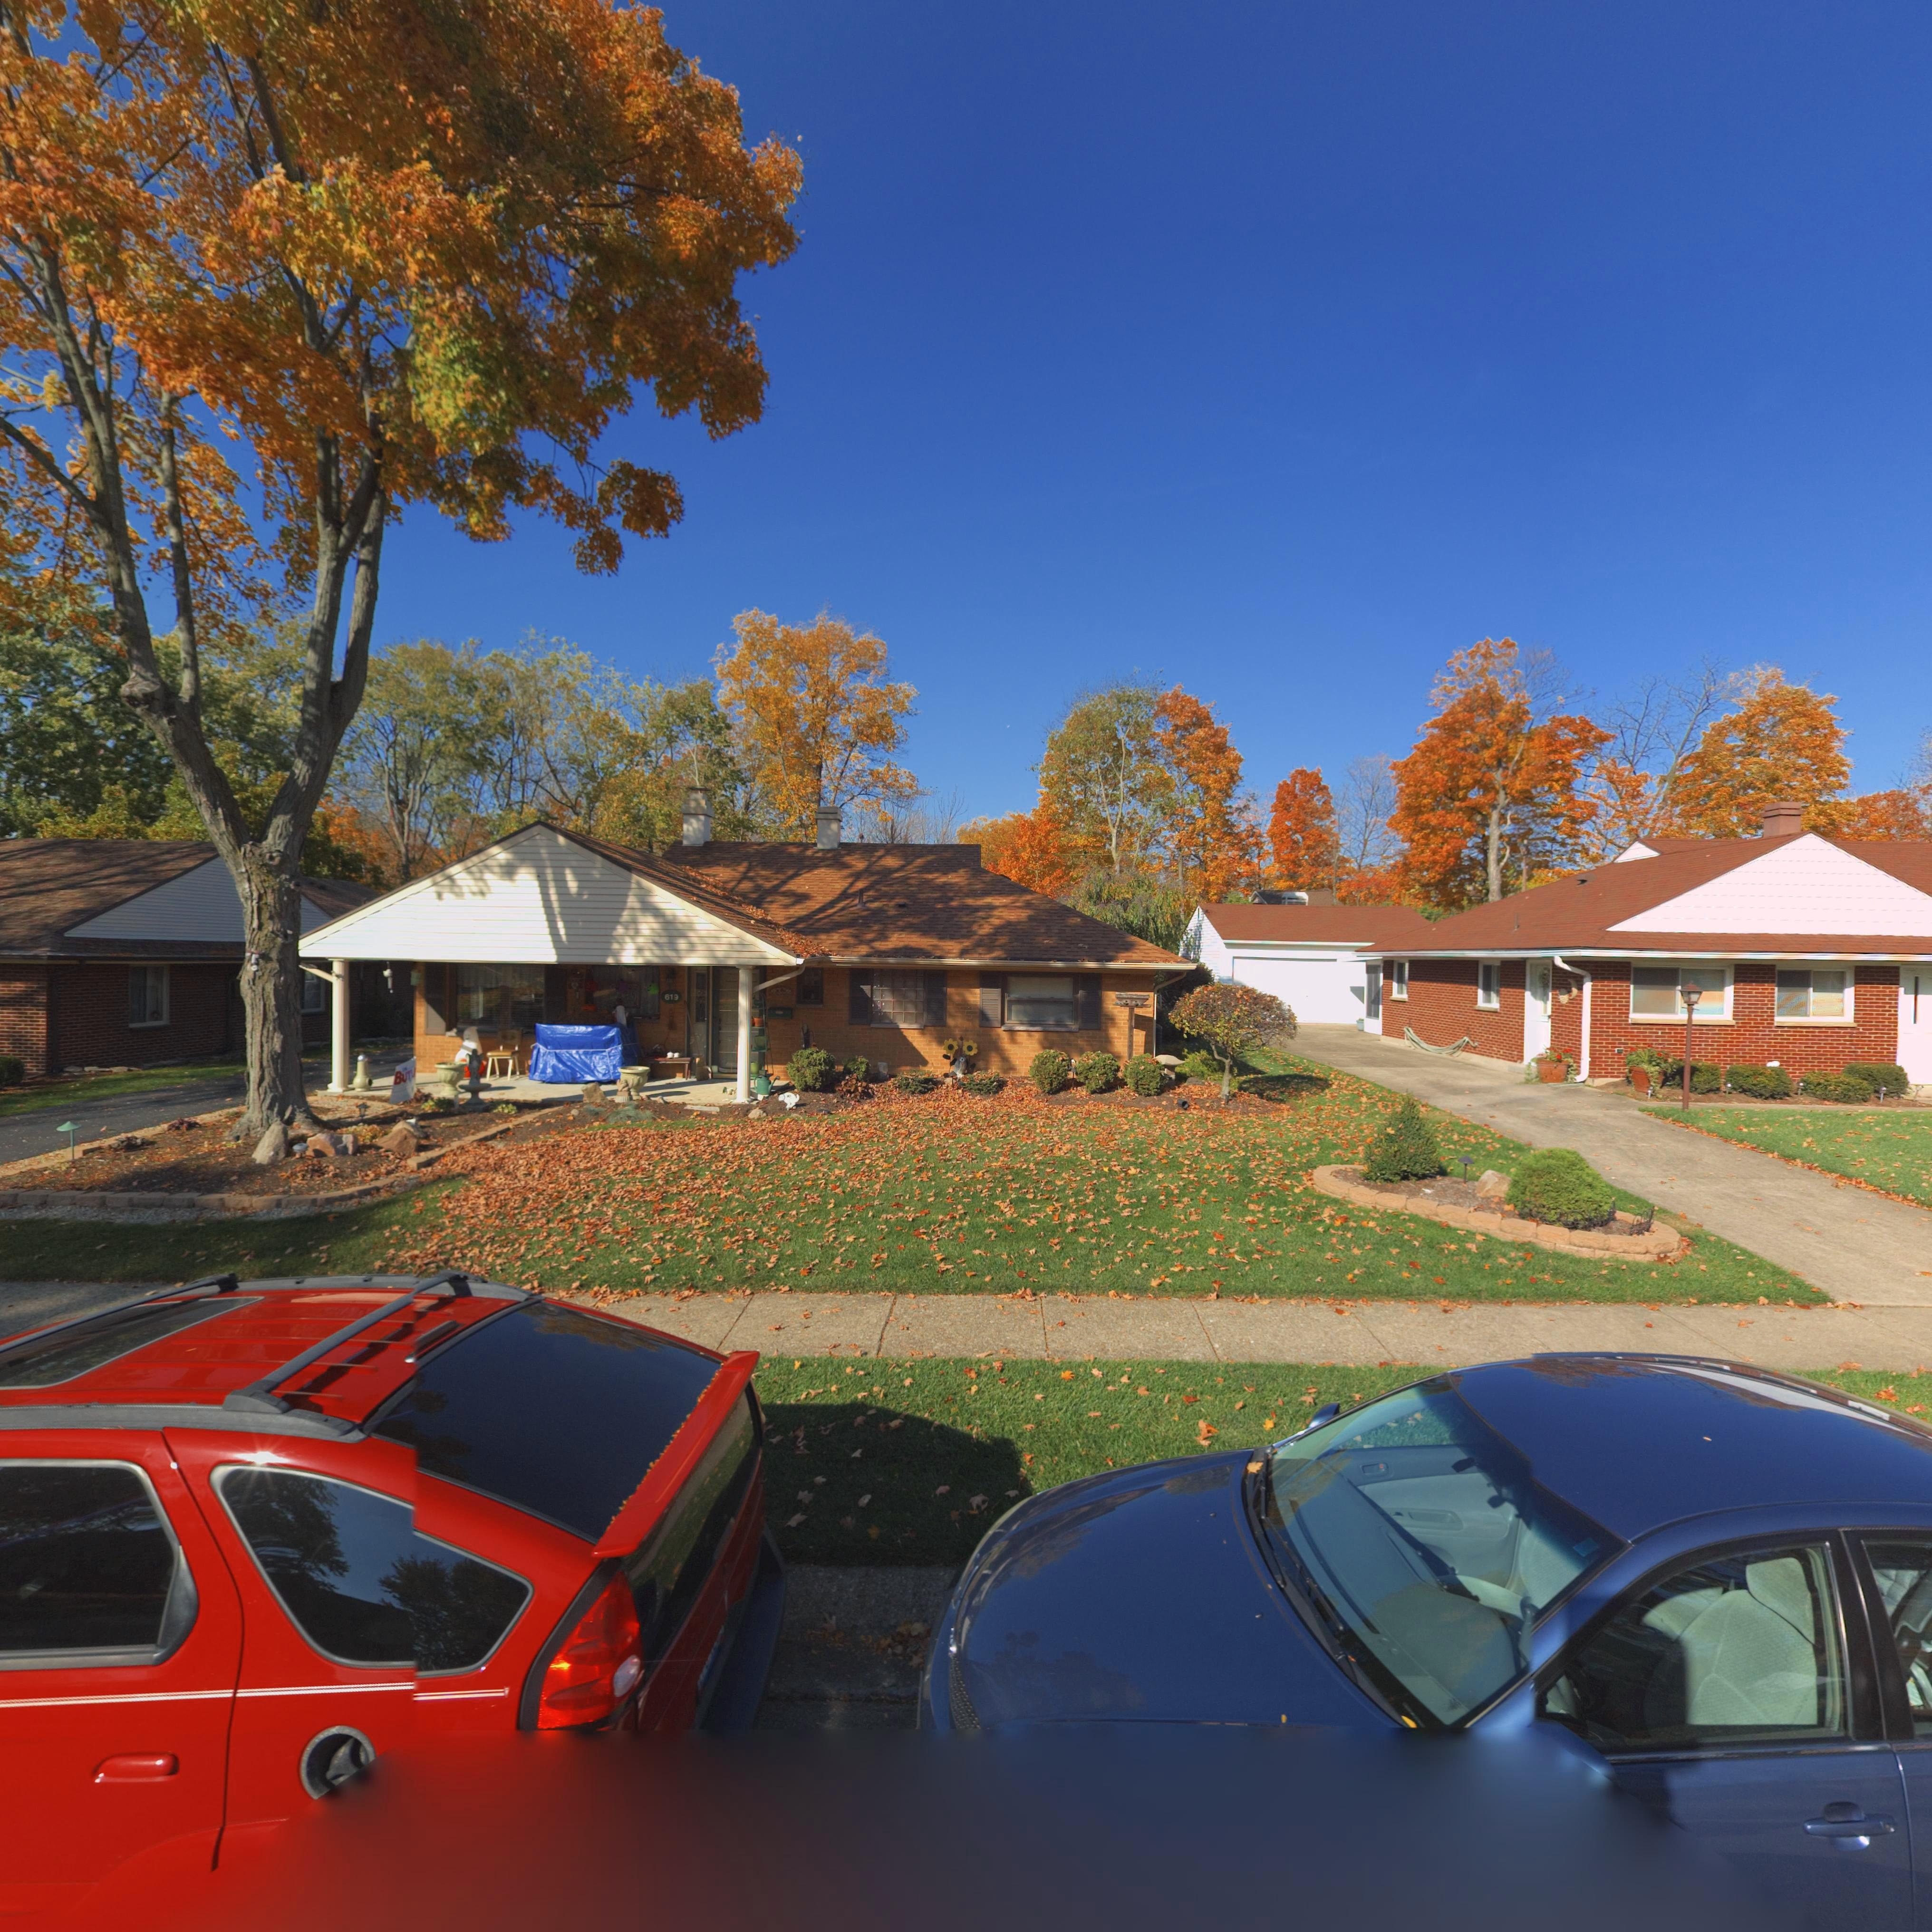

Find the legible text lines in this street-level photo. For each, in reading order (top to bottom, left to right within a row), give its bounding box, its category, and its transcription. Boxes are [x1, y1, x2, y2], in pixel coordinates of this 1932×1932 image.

[664, 994, 679, 1001] StreetNumber: 619
[394, 1069, 412, 1086] None: BUT